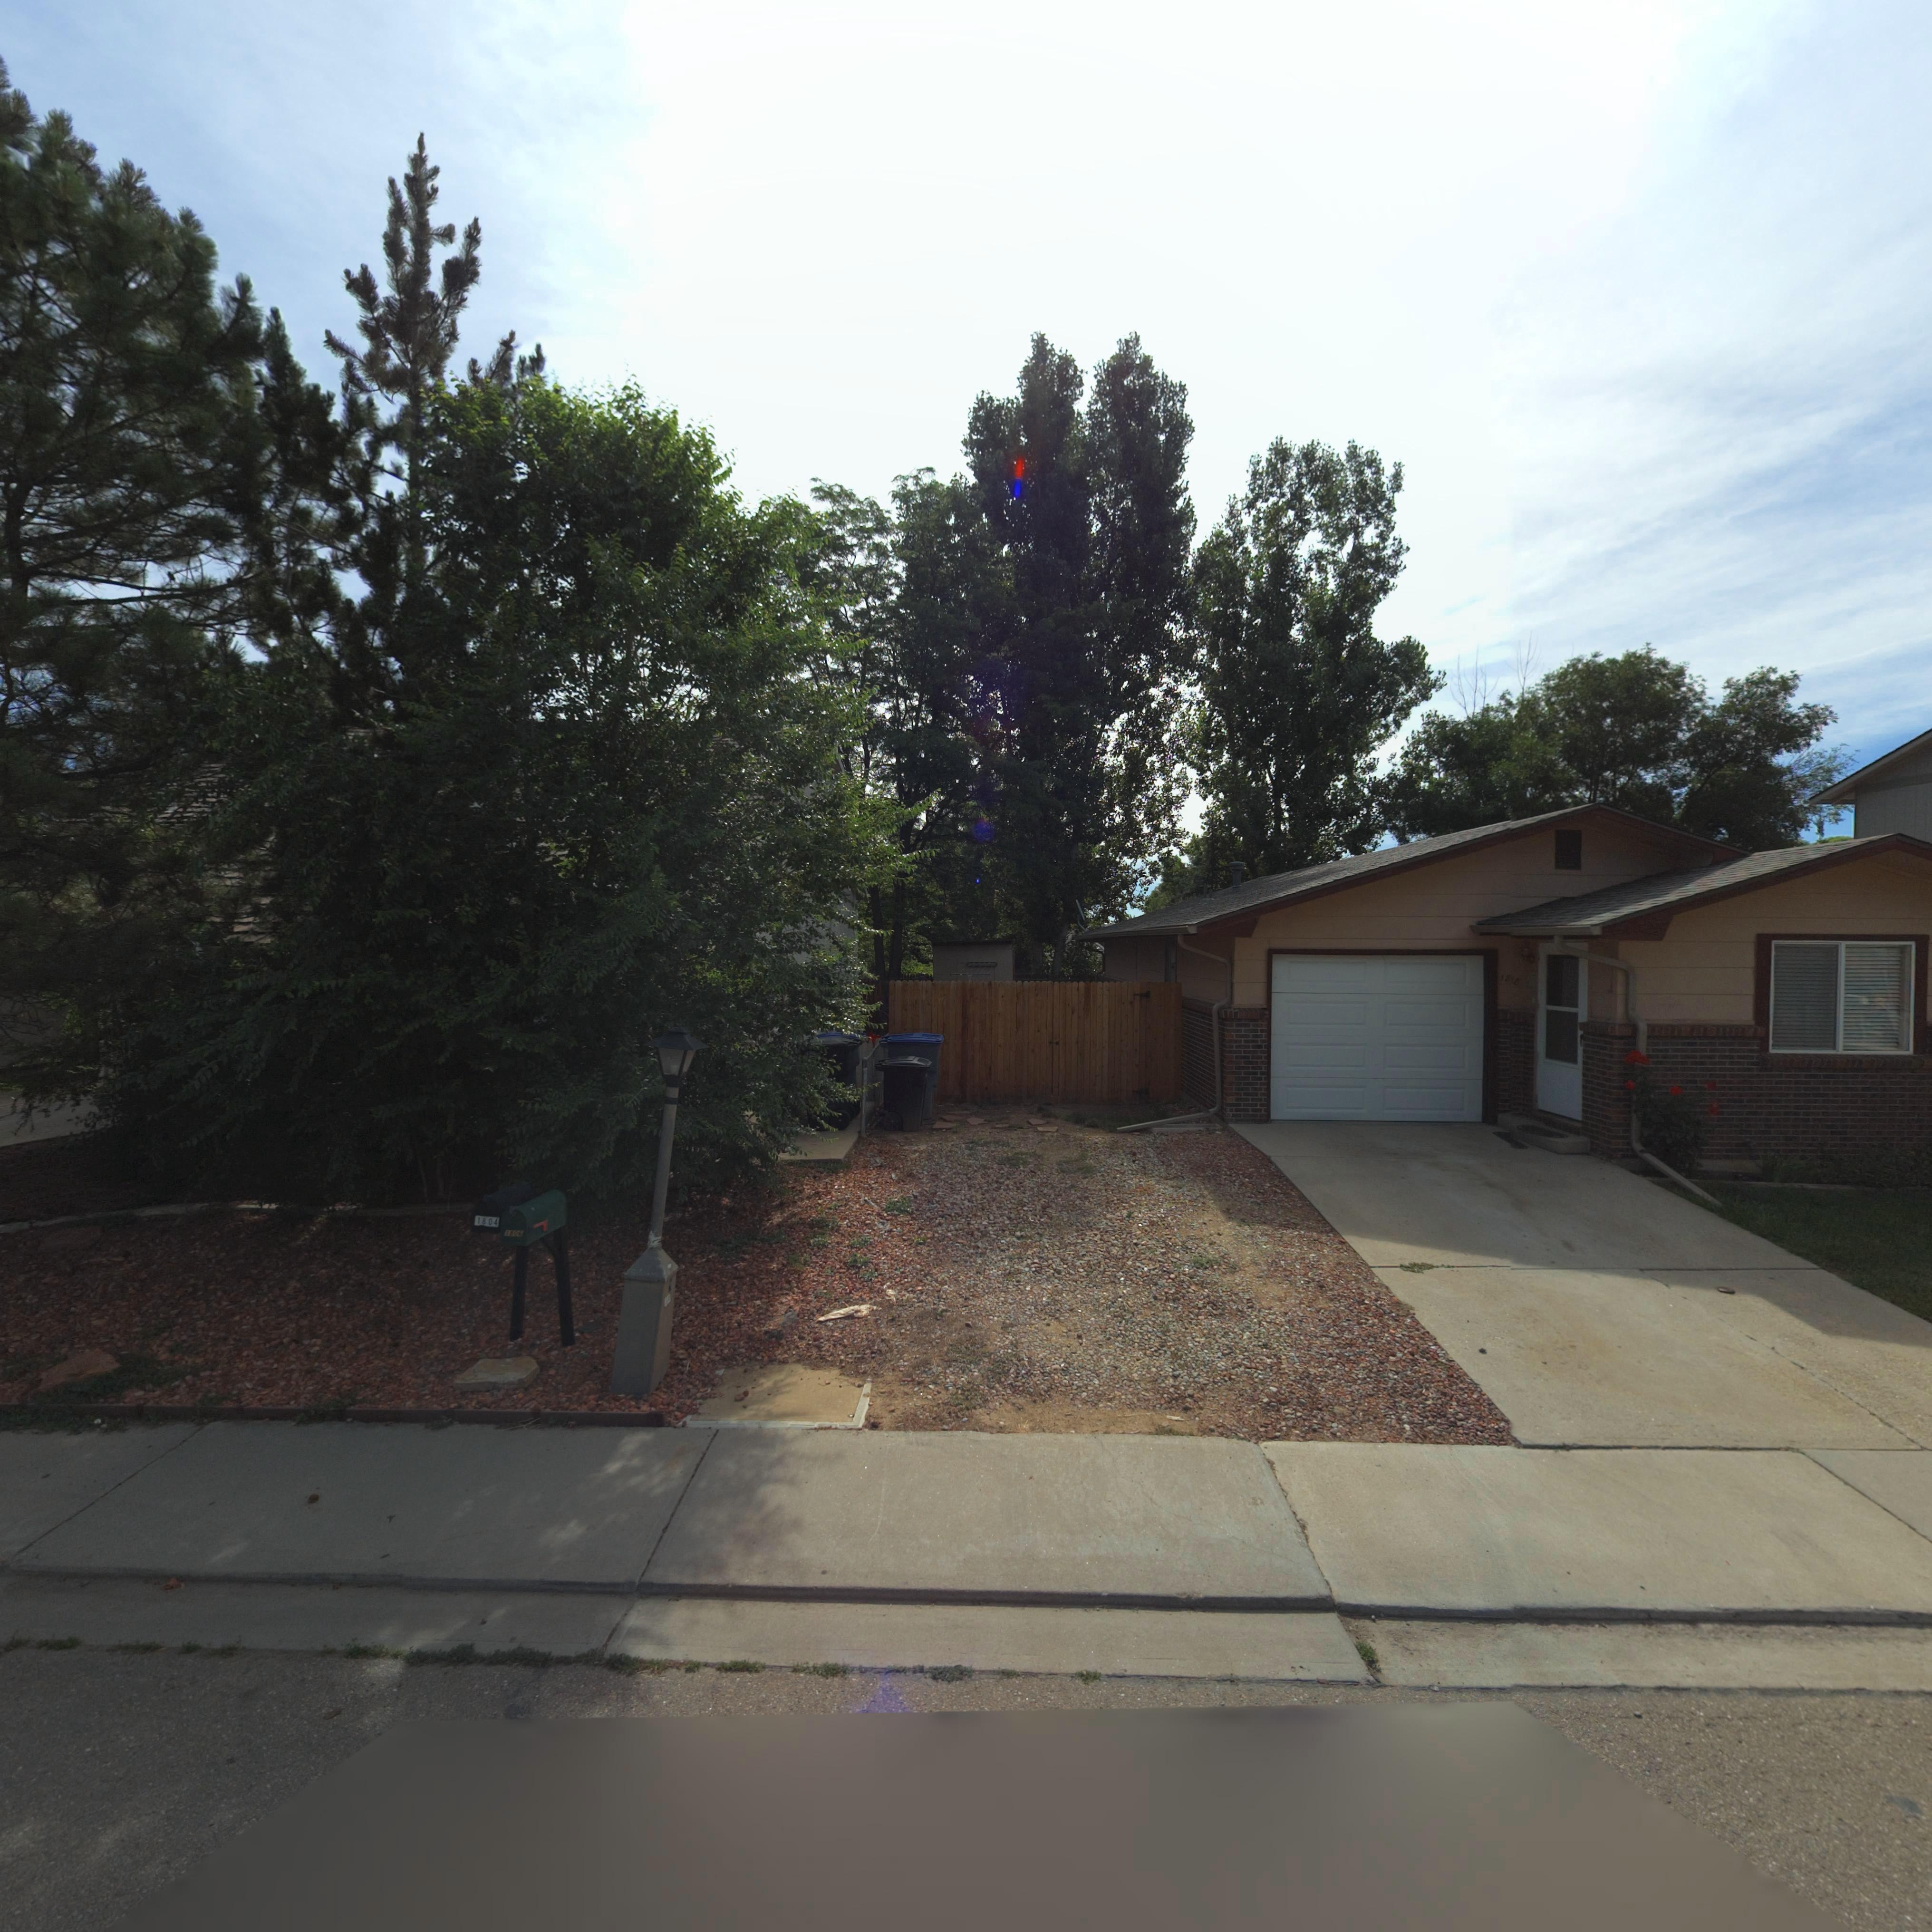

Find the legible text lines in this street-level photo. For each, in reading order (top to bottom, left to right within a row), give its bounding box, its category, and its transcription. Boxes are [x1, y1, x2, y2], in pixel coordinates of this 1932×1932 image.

[1499, 973, 1522, 986] StreetNumber: 18*8
[477, 1216, 498, 1227] StreetNumber: 1804
[504, 1229, 523, 1237] StreetNumber: 1806